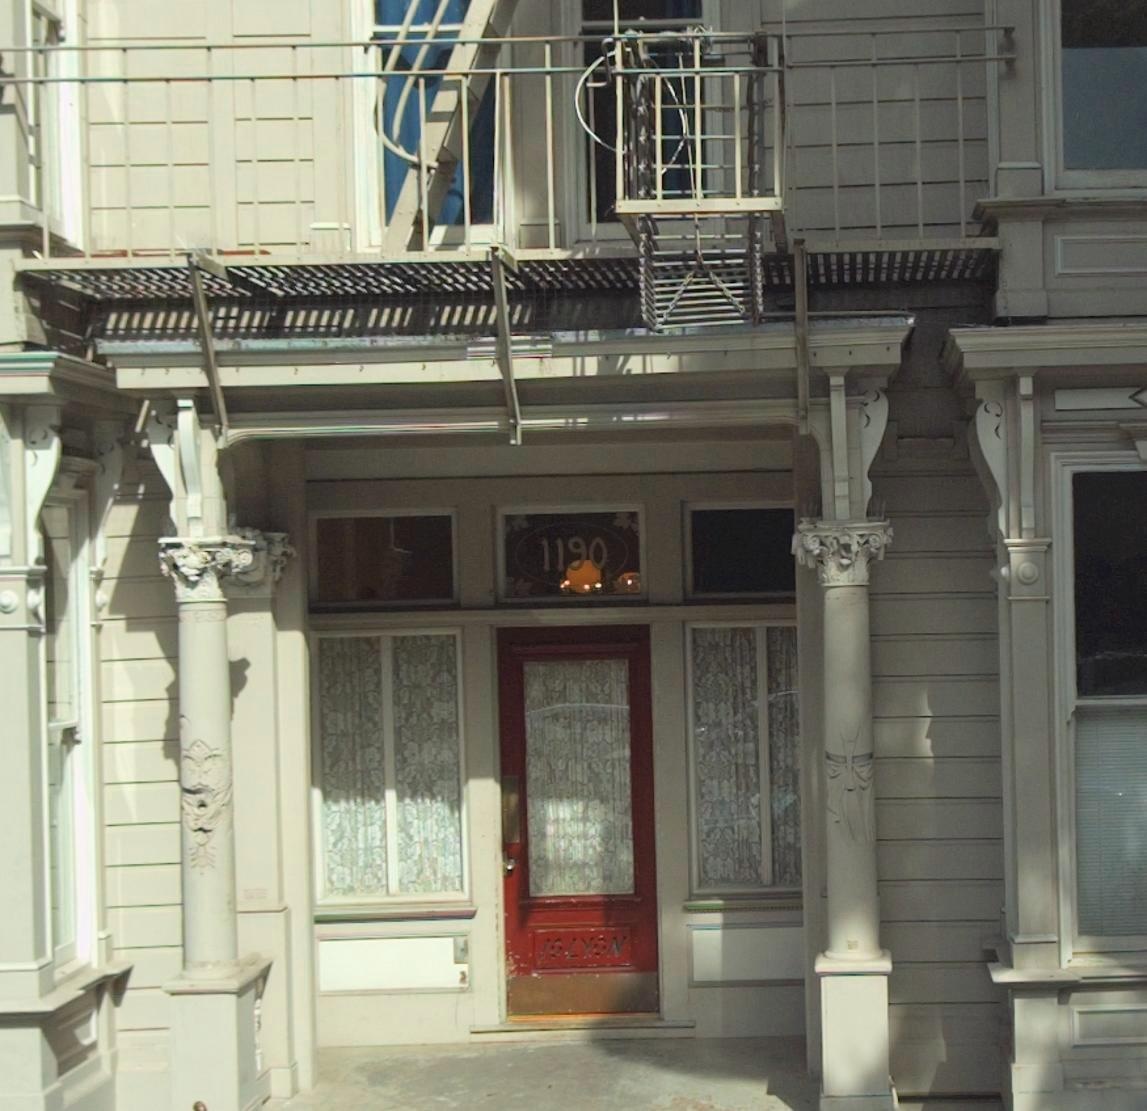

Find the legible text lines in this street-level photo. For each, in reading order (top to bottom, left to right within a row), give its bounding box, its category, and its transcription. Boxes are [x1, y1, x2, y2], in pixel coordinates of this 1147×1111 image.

[539, 534, 610, 574] StreetNumber: 1190
[535, 932, 632, 964] None: 10LYON